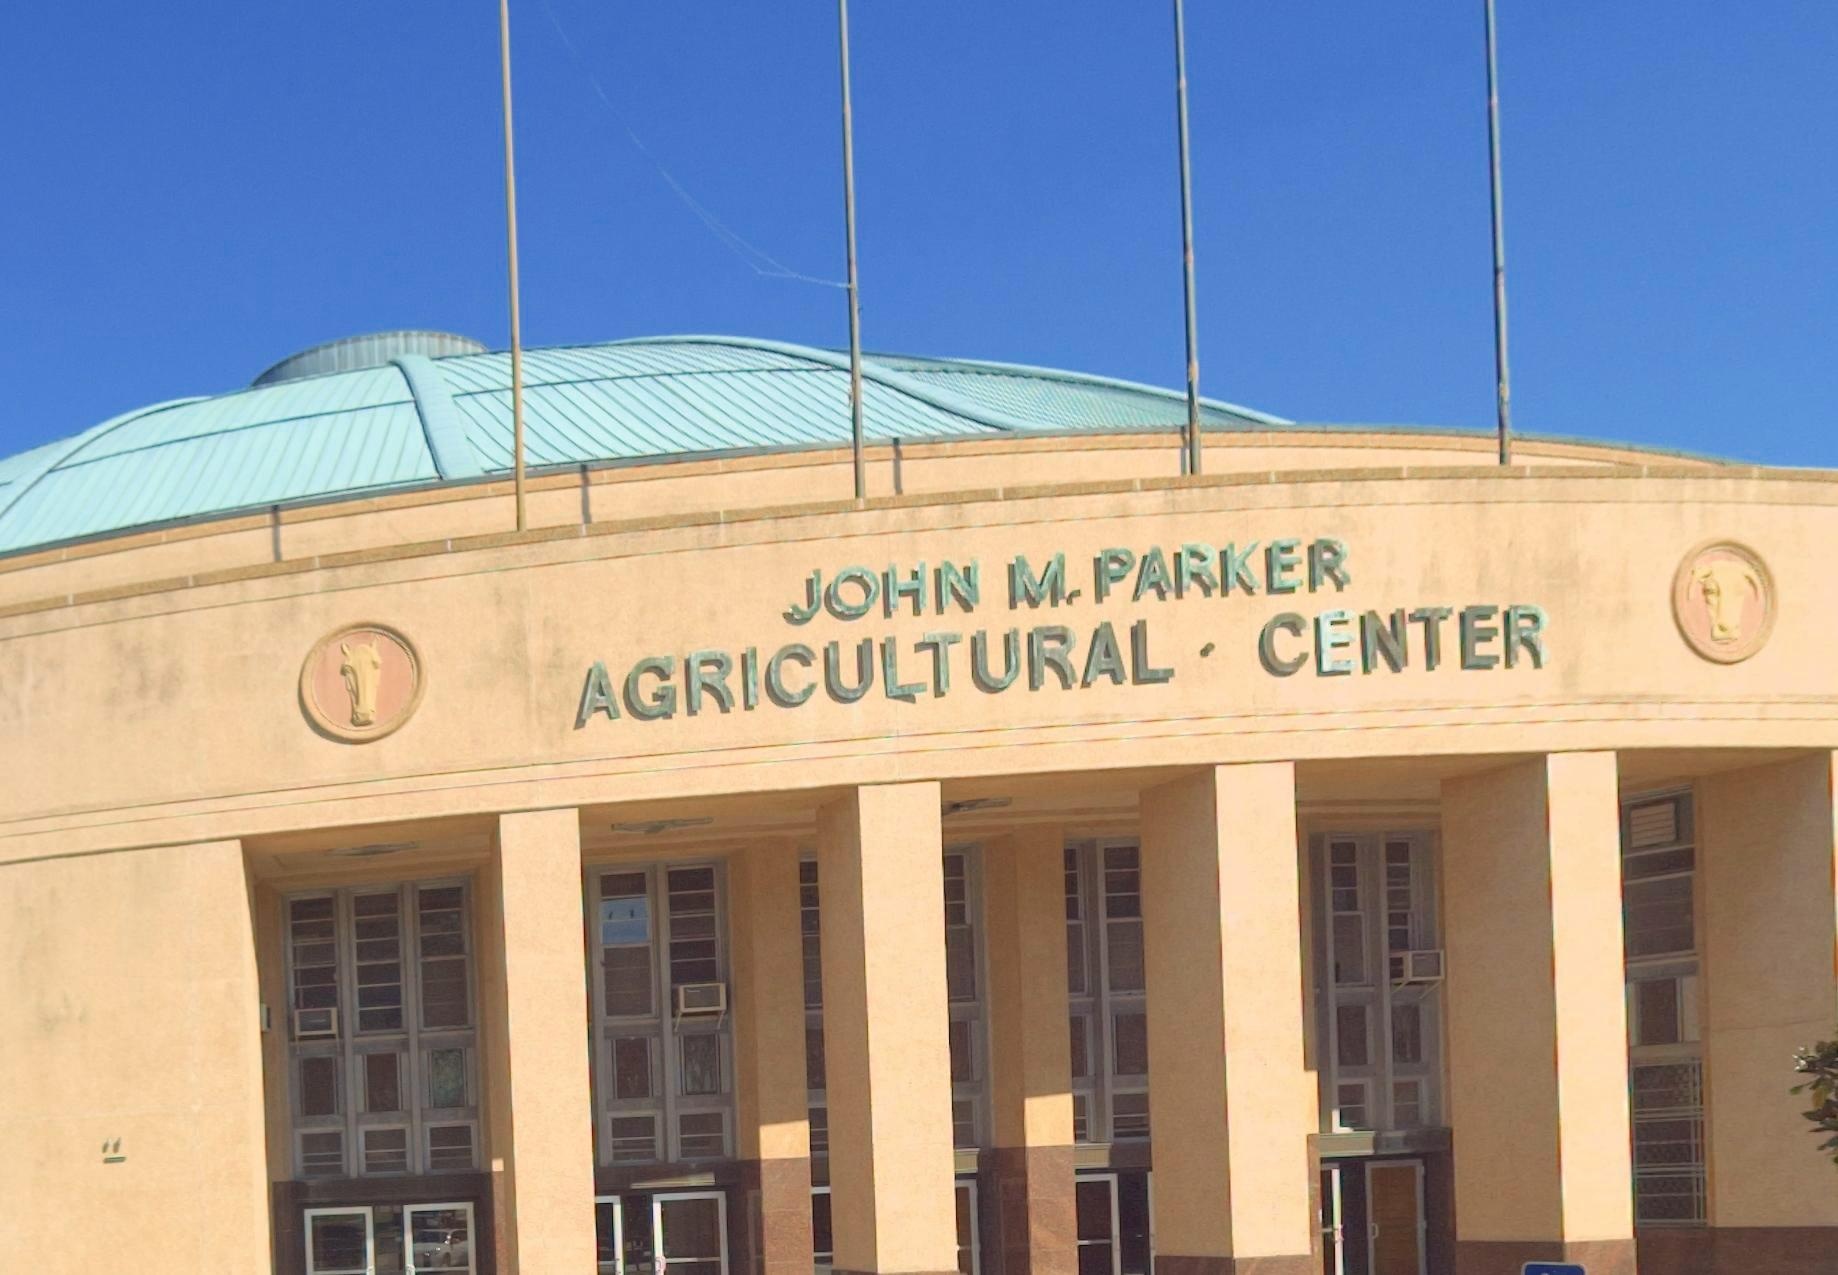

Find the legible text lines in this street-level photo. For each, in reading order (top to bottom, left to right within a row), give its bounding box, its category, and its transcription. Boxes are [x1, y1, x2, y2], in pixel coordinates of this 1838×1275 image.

[784, 531, 1354, 622] BusinessName: JOHN M. PARKER
[576, 600, 1551, 723] BusinessName: AGRICULTURAL CENTER